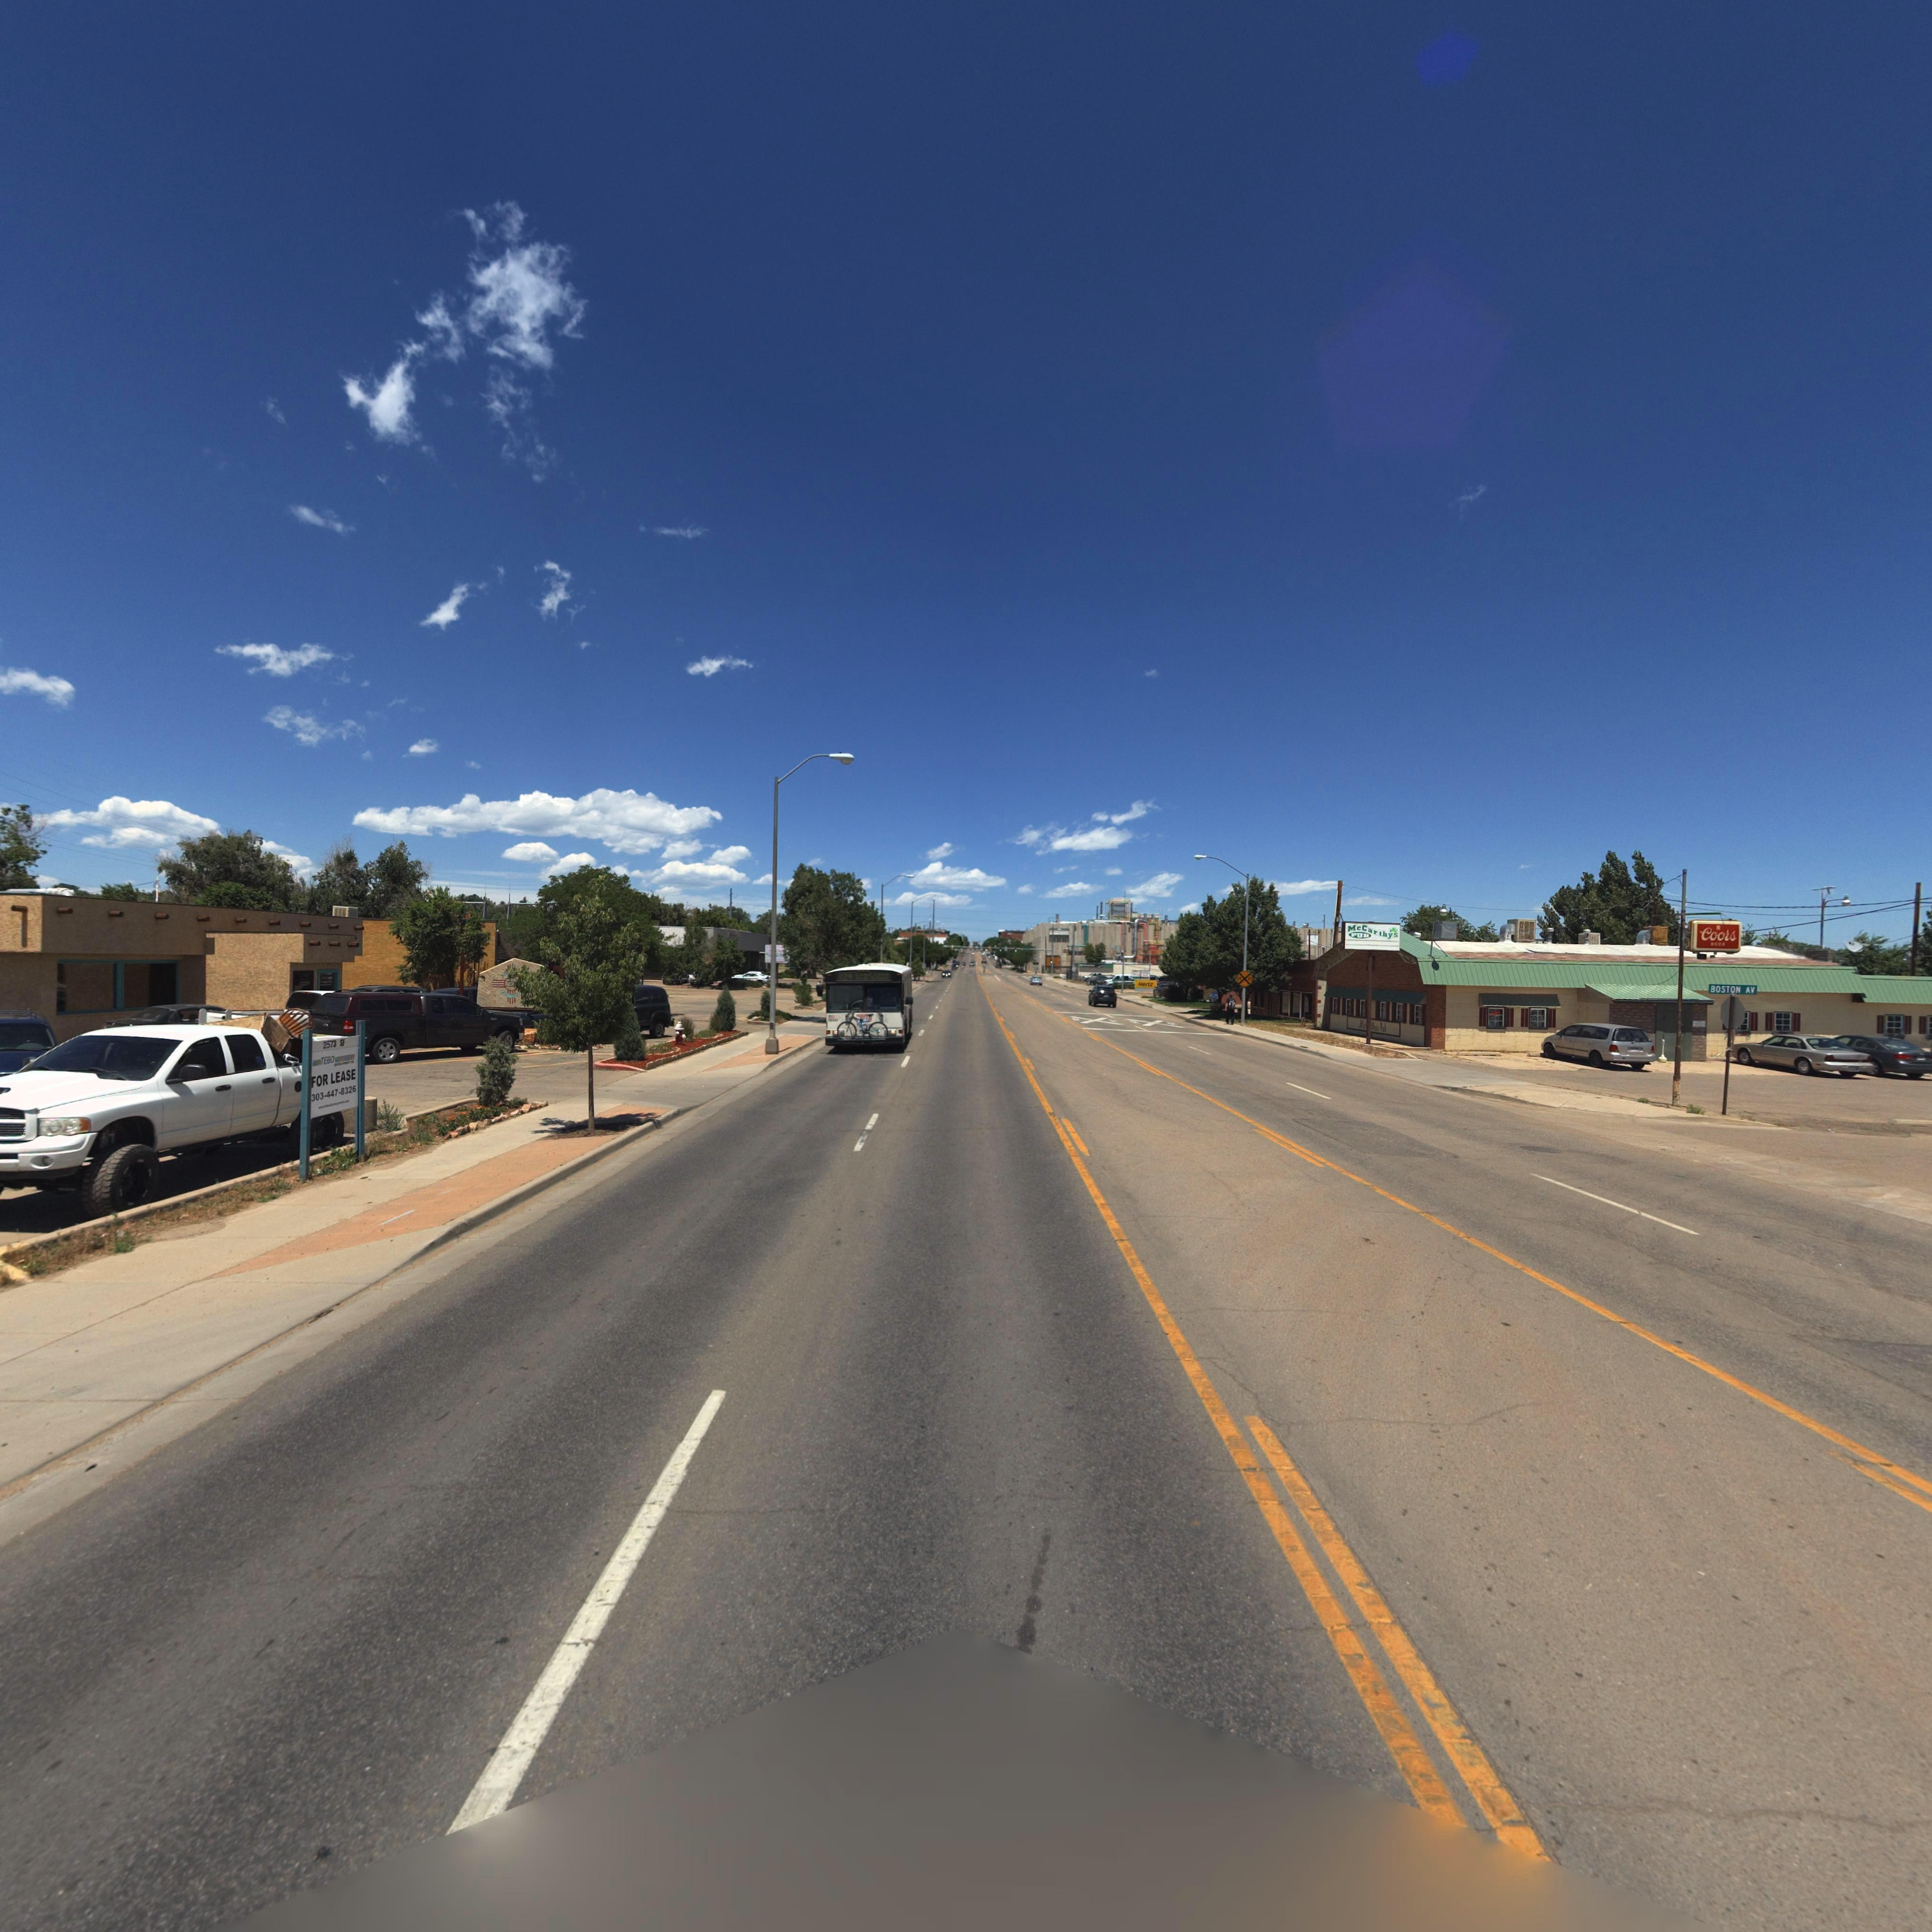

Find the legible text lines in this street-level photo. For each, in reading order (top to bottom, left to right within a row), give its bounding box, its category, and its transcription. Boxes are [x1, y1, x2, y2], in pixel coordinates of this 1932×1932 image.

[1351, 932, 1369, 938] BusinessName: PUB
[1346, 924, 1398, 940] BusinessName: McCarthys
[1138, 981, 1153, 986] BusinessName: Hertz
[1710, 985, 1756, 994] StreetName: BOSTON AV
[1358, 1019, 1387, 1033] BusinessName: McC**thy's Pub